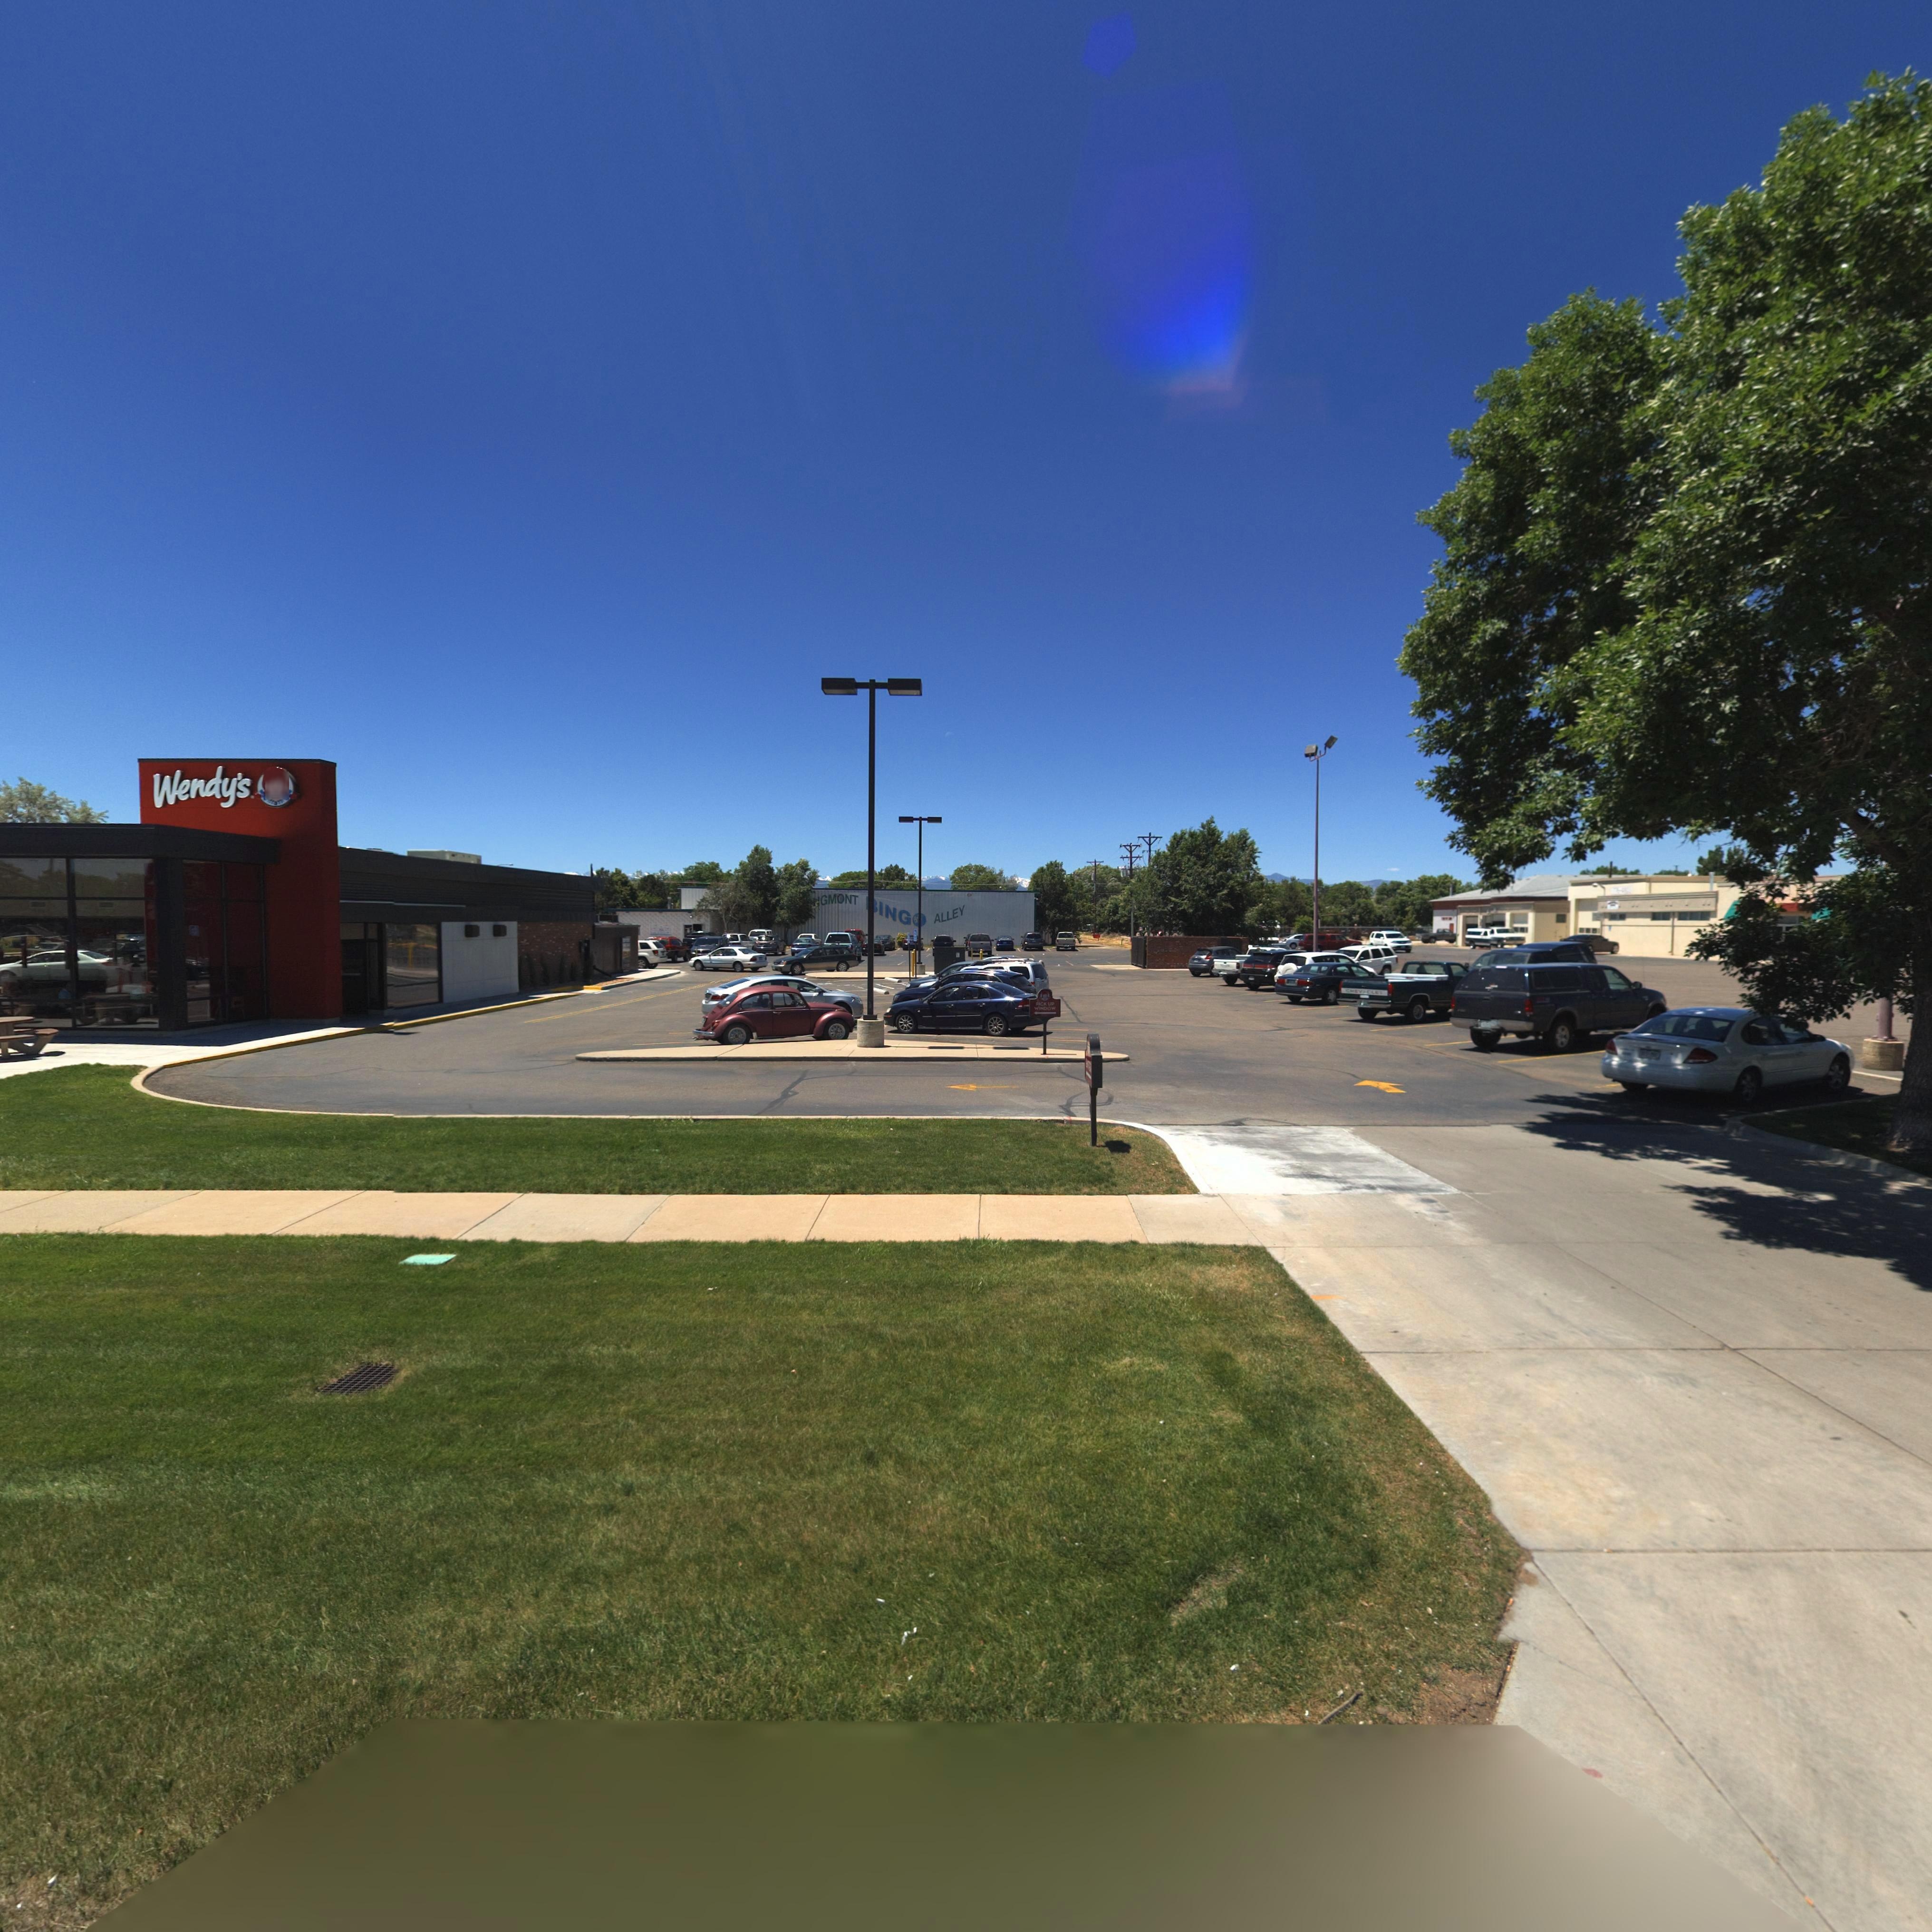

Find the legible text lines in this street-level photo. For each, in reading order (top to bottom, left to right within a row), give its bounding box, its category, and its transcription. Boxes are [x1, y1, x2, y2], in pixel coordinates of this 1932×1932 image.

[152, 765, 252, 810] BusinessName: Wendy's
[812, 893, 859, 908] BusinessName: *GMONT
[865, 895, 927, 929] BusinessName: *ING*
[933, 903, 966, 924] BusinessName: ALLEY